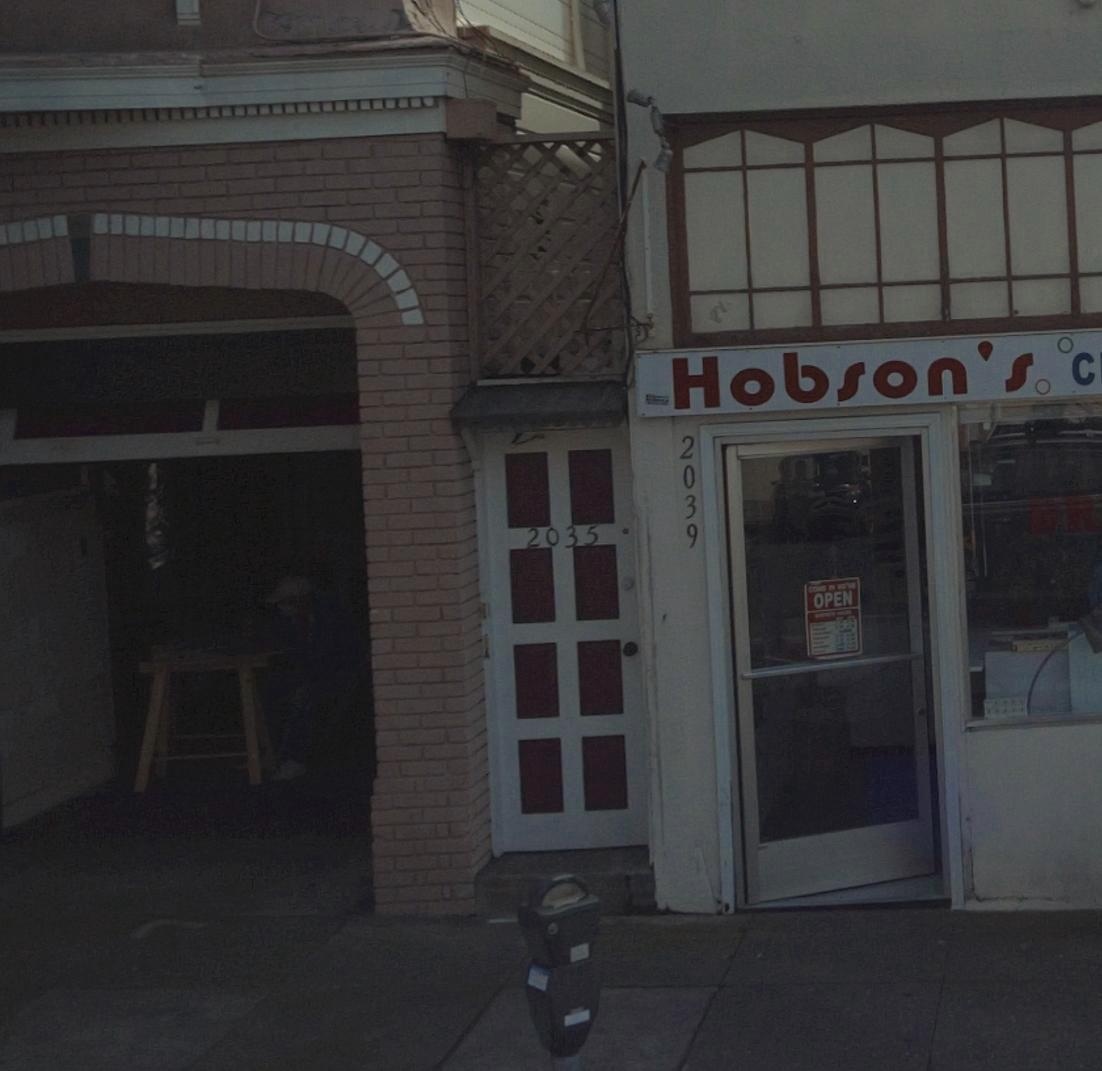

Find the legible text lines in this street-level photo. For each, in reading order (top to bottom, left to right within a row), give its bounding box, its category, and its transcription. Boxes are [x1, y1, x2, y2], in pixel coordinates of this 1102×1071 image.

[668, 336, 1098, 414] BusinessName: Hobson's C
[679, 431, 700, 554] StreetNumber: 2039
[524, 523, 602, 549] StreetNumber: 2035
[811, 589, 855, 611] None: OPEN